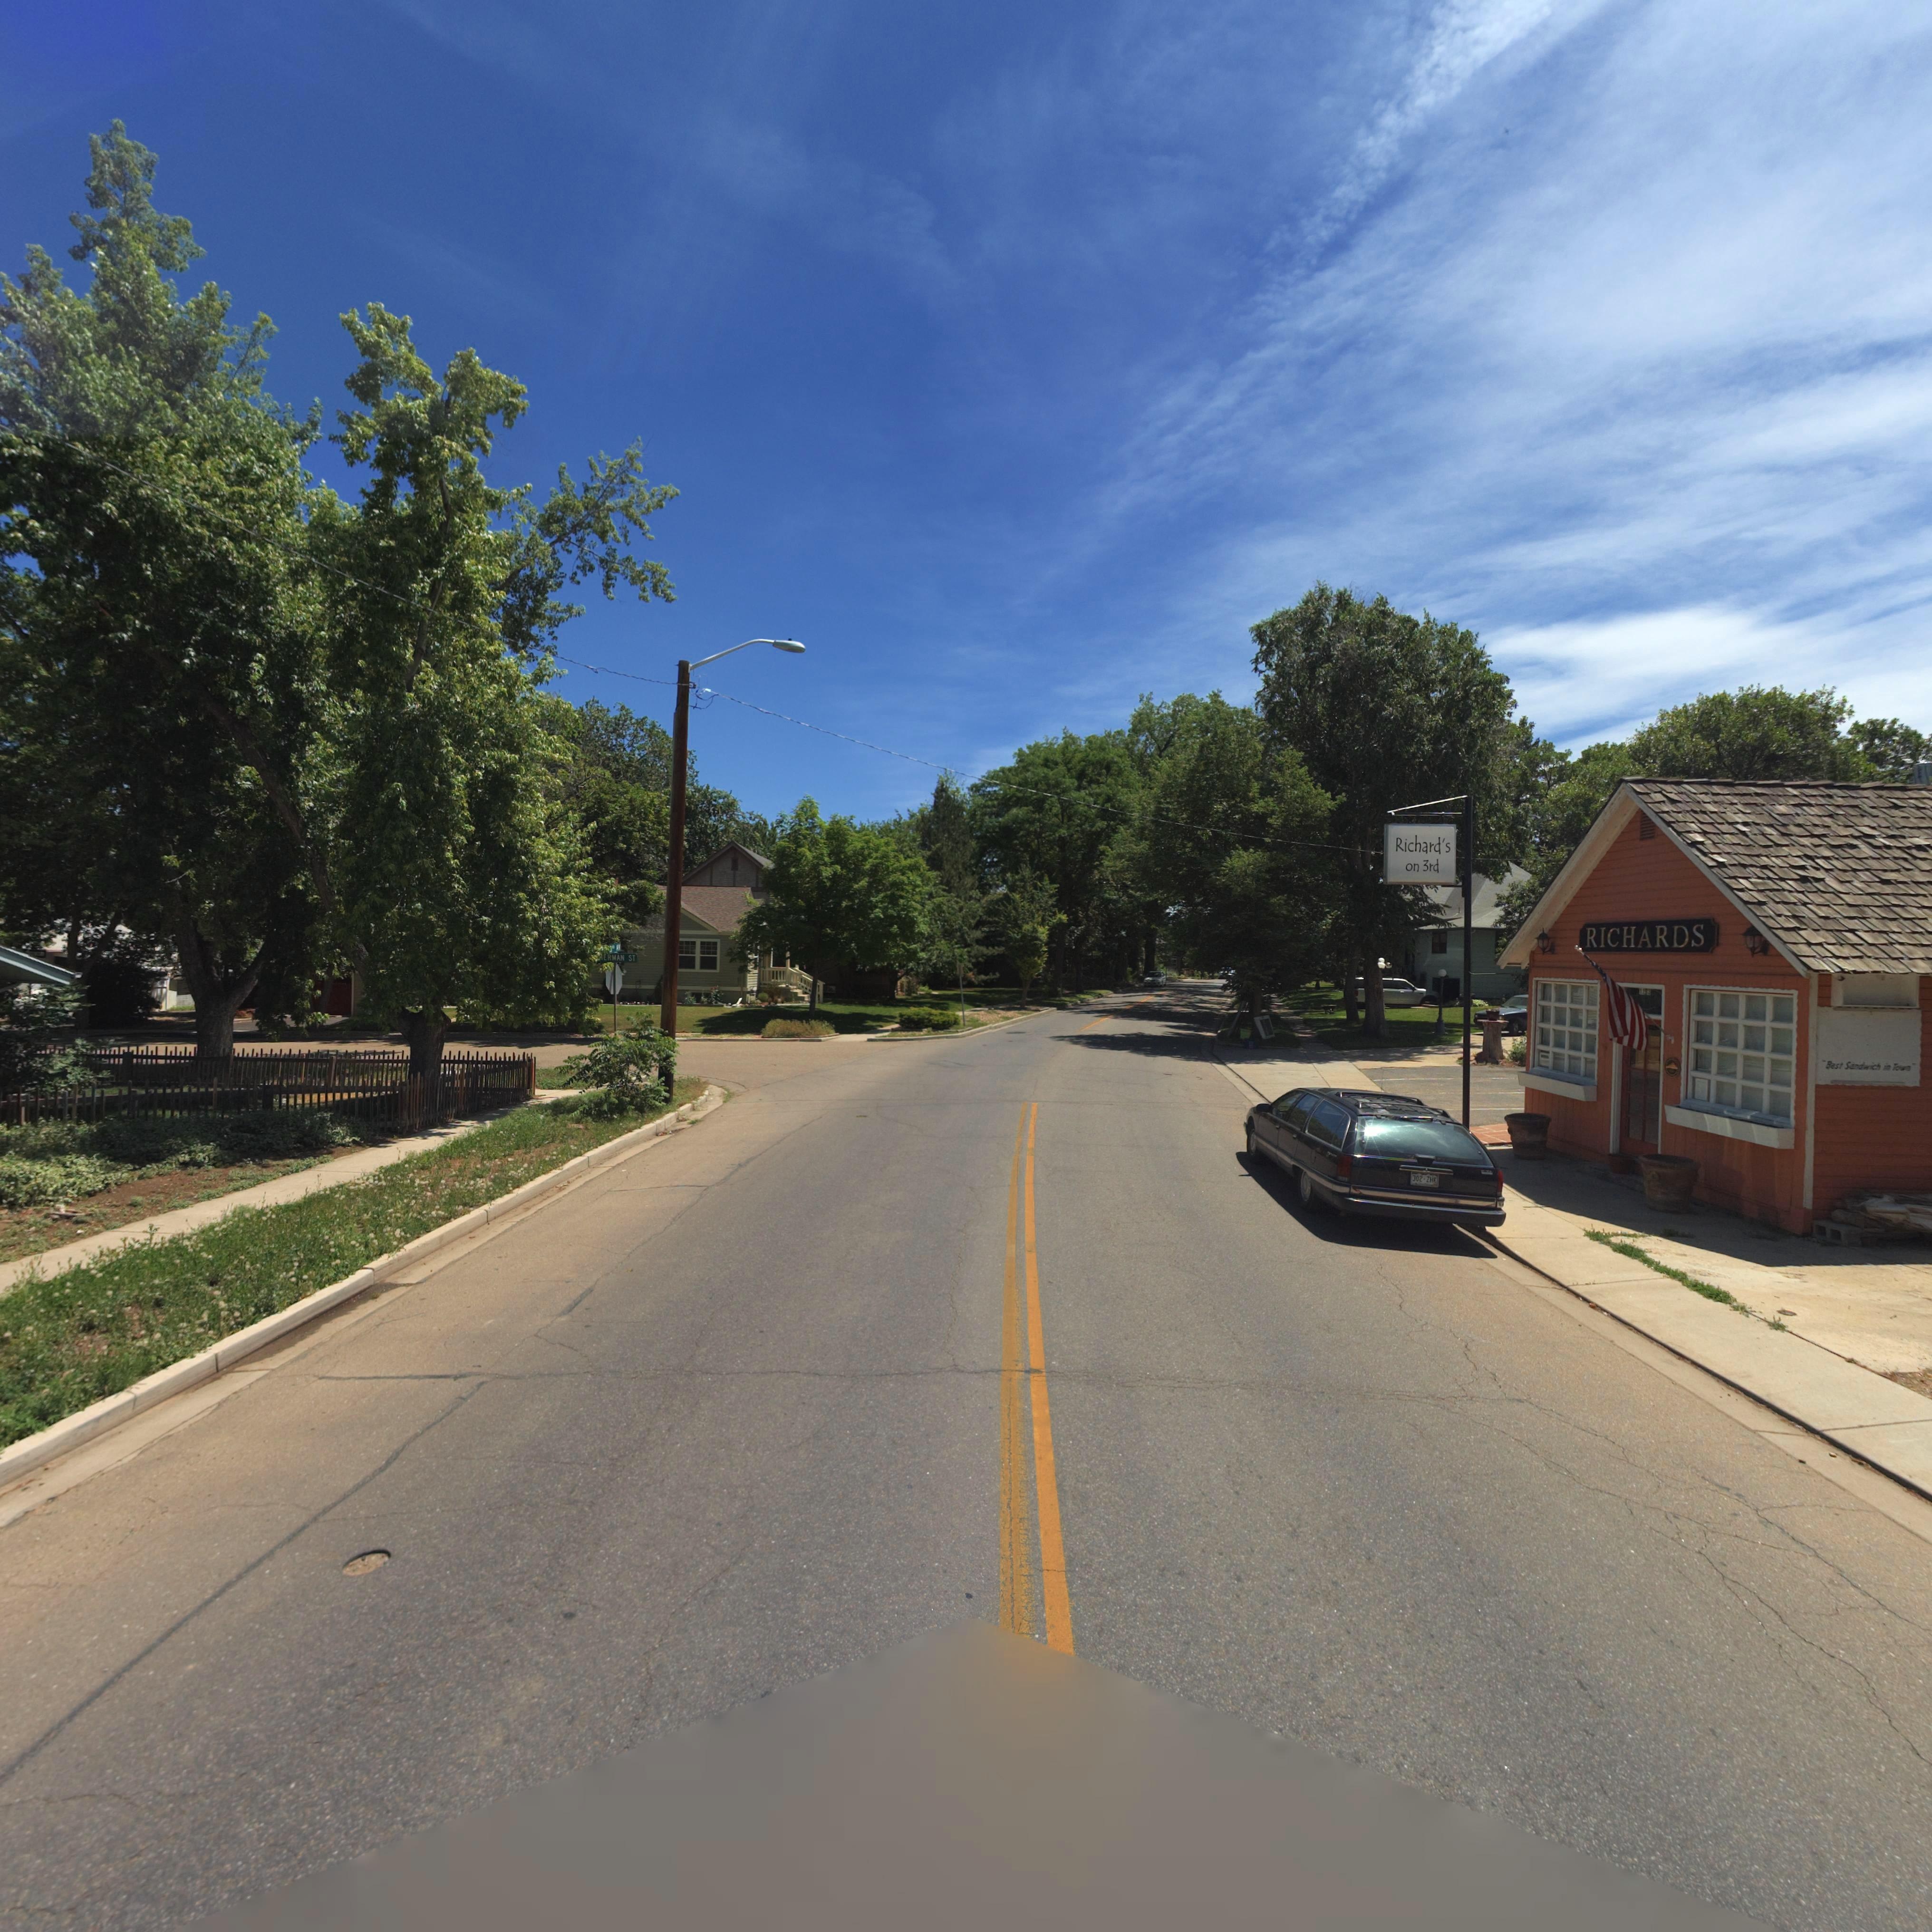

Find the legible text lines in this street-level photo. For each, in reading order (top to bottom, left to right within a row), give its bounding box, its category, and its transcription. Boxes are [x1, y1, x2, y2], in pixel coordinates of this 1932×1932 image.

[1395, 835, 1450, 854] BusinessName: Richard's
[1584, 924, 1705, 947] BusinessName: RICHARDS
[609, 944, 620, 952] StreetName: 3** AV
[599, 954, 635, 961] StreetName: *ERMAN ST
[1639, 988, 1650, 995] StreetNumber: 1283